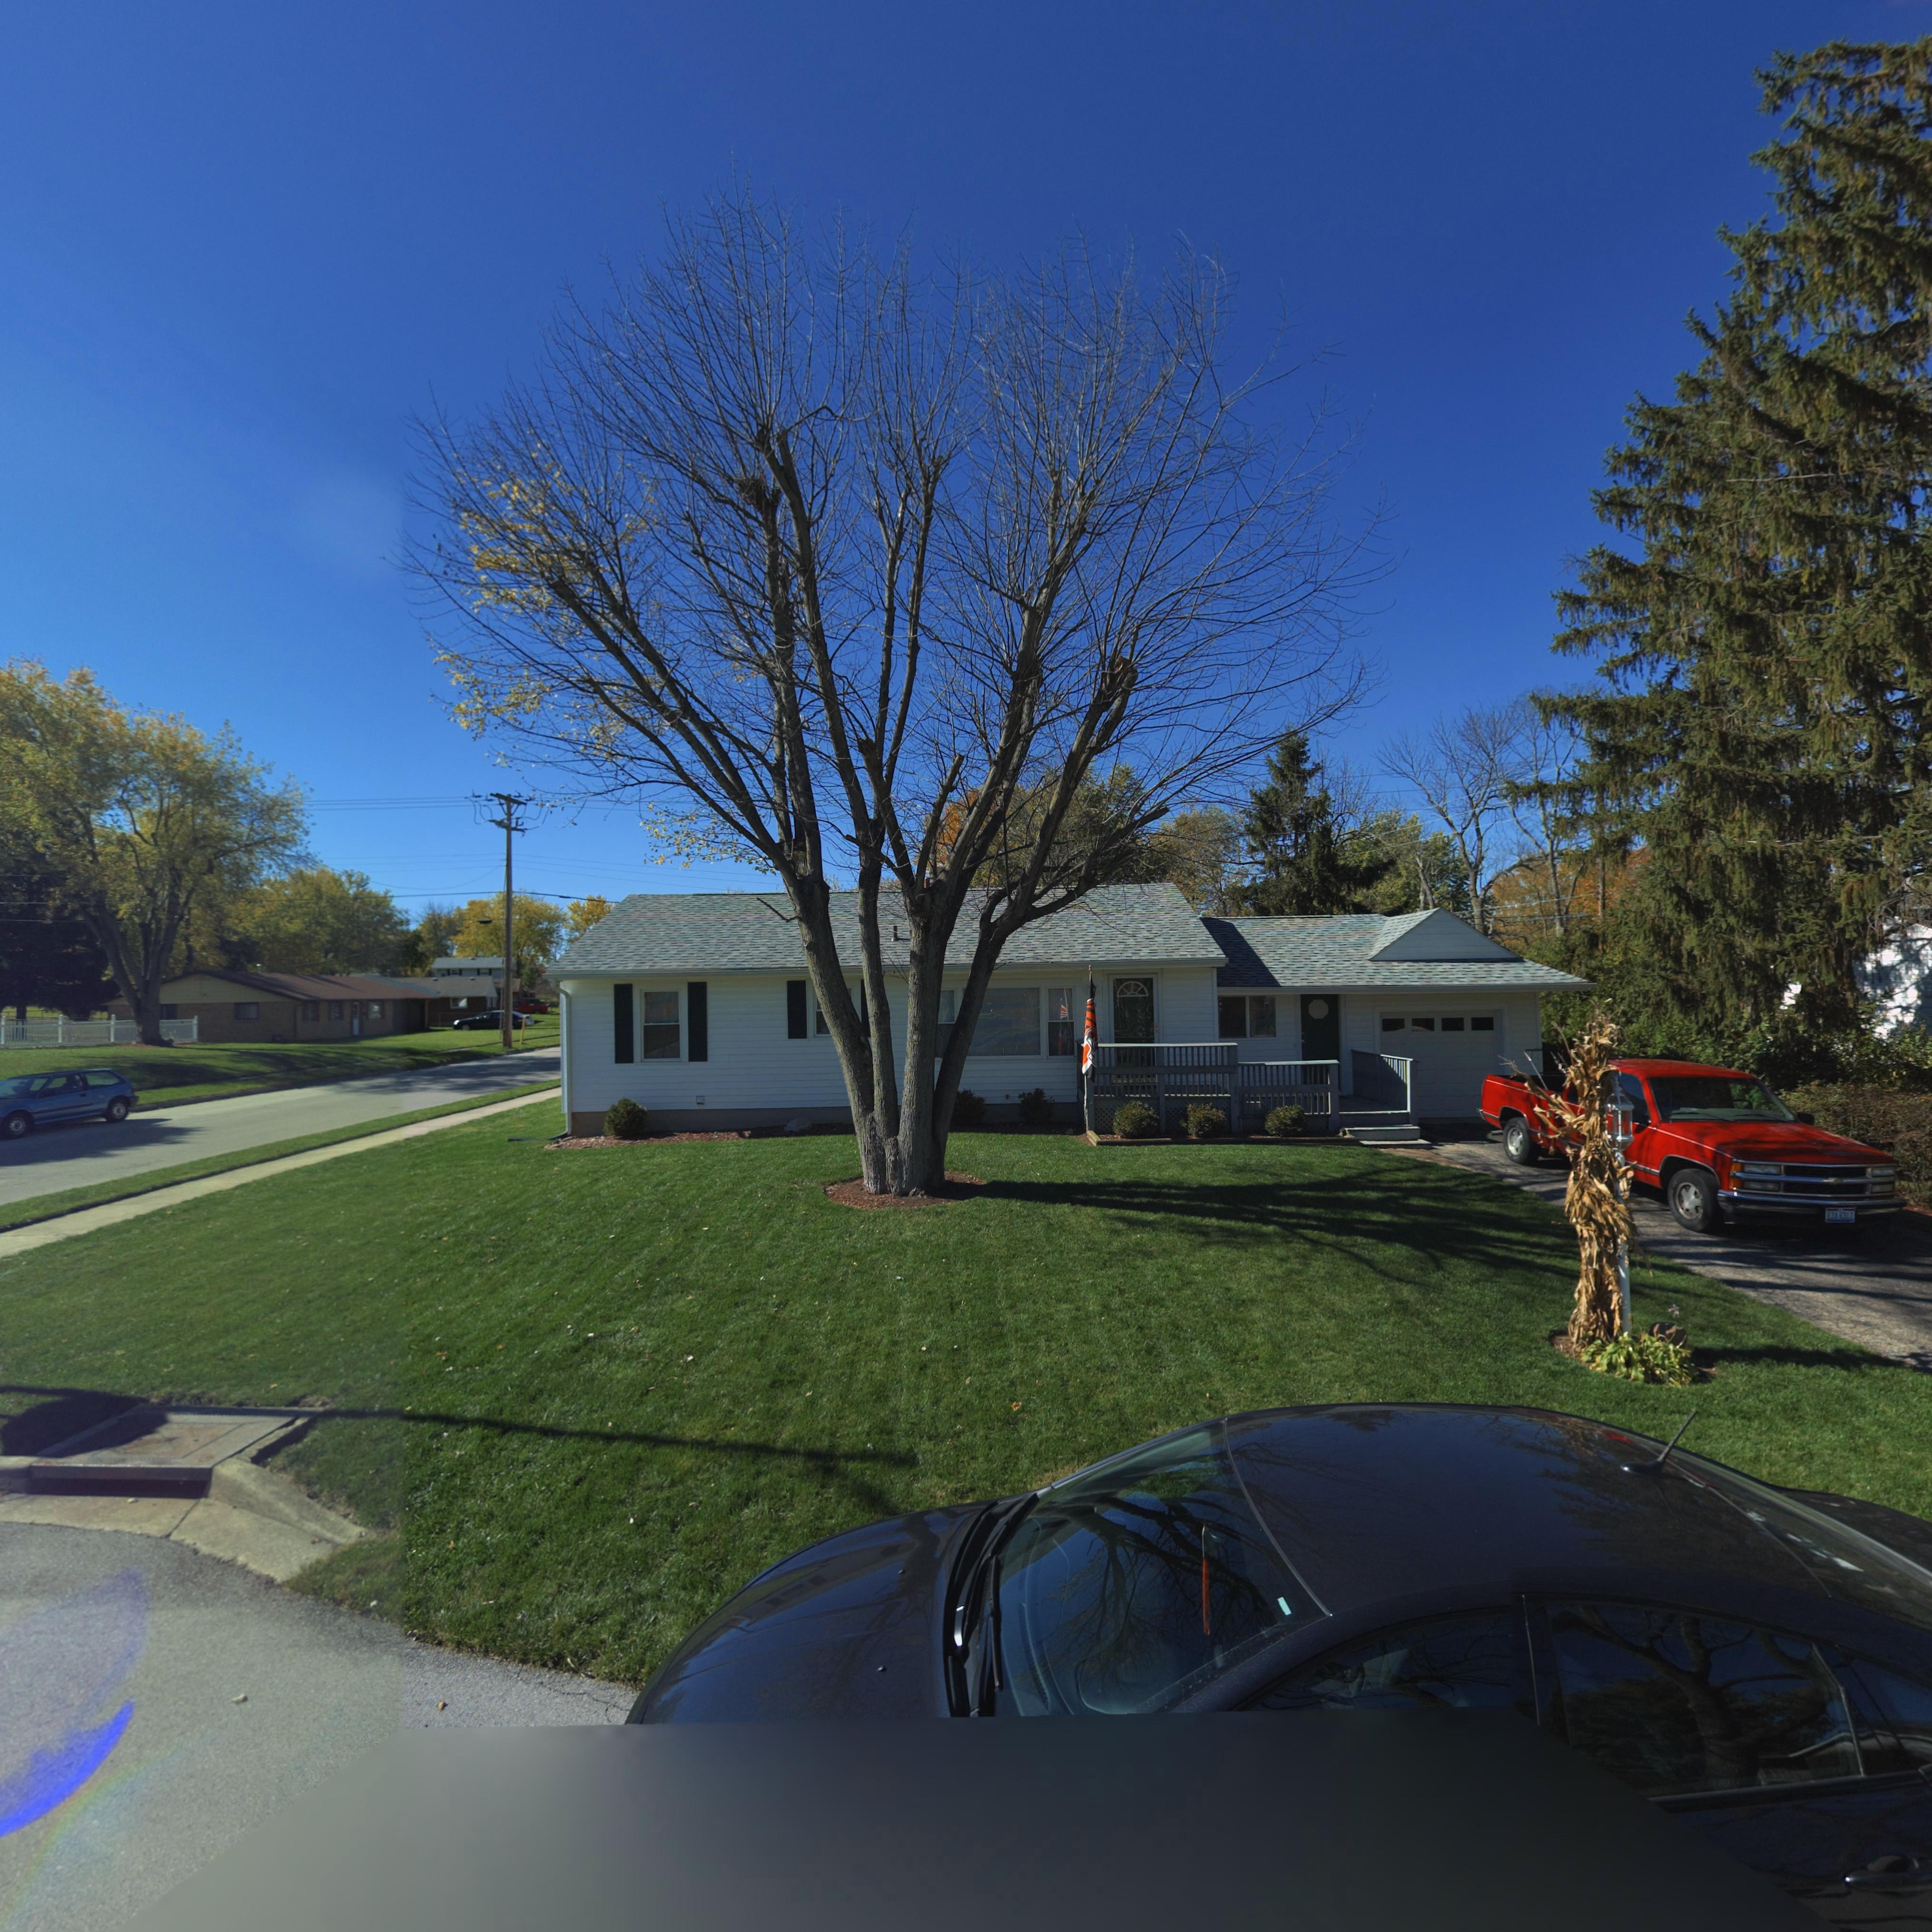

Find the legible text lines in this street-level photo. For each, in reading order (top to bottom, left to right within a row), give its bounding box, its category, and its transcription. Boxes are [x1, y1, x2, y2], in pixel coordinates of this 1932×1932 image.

[1094, 1001, 1097, 1007] StreetNumber: 1